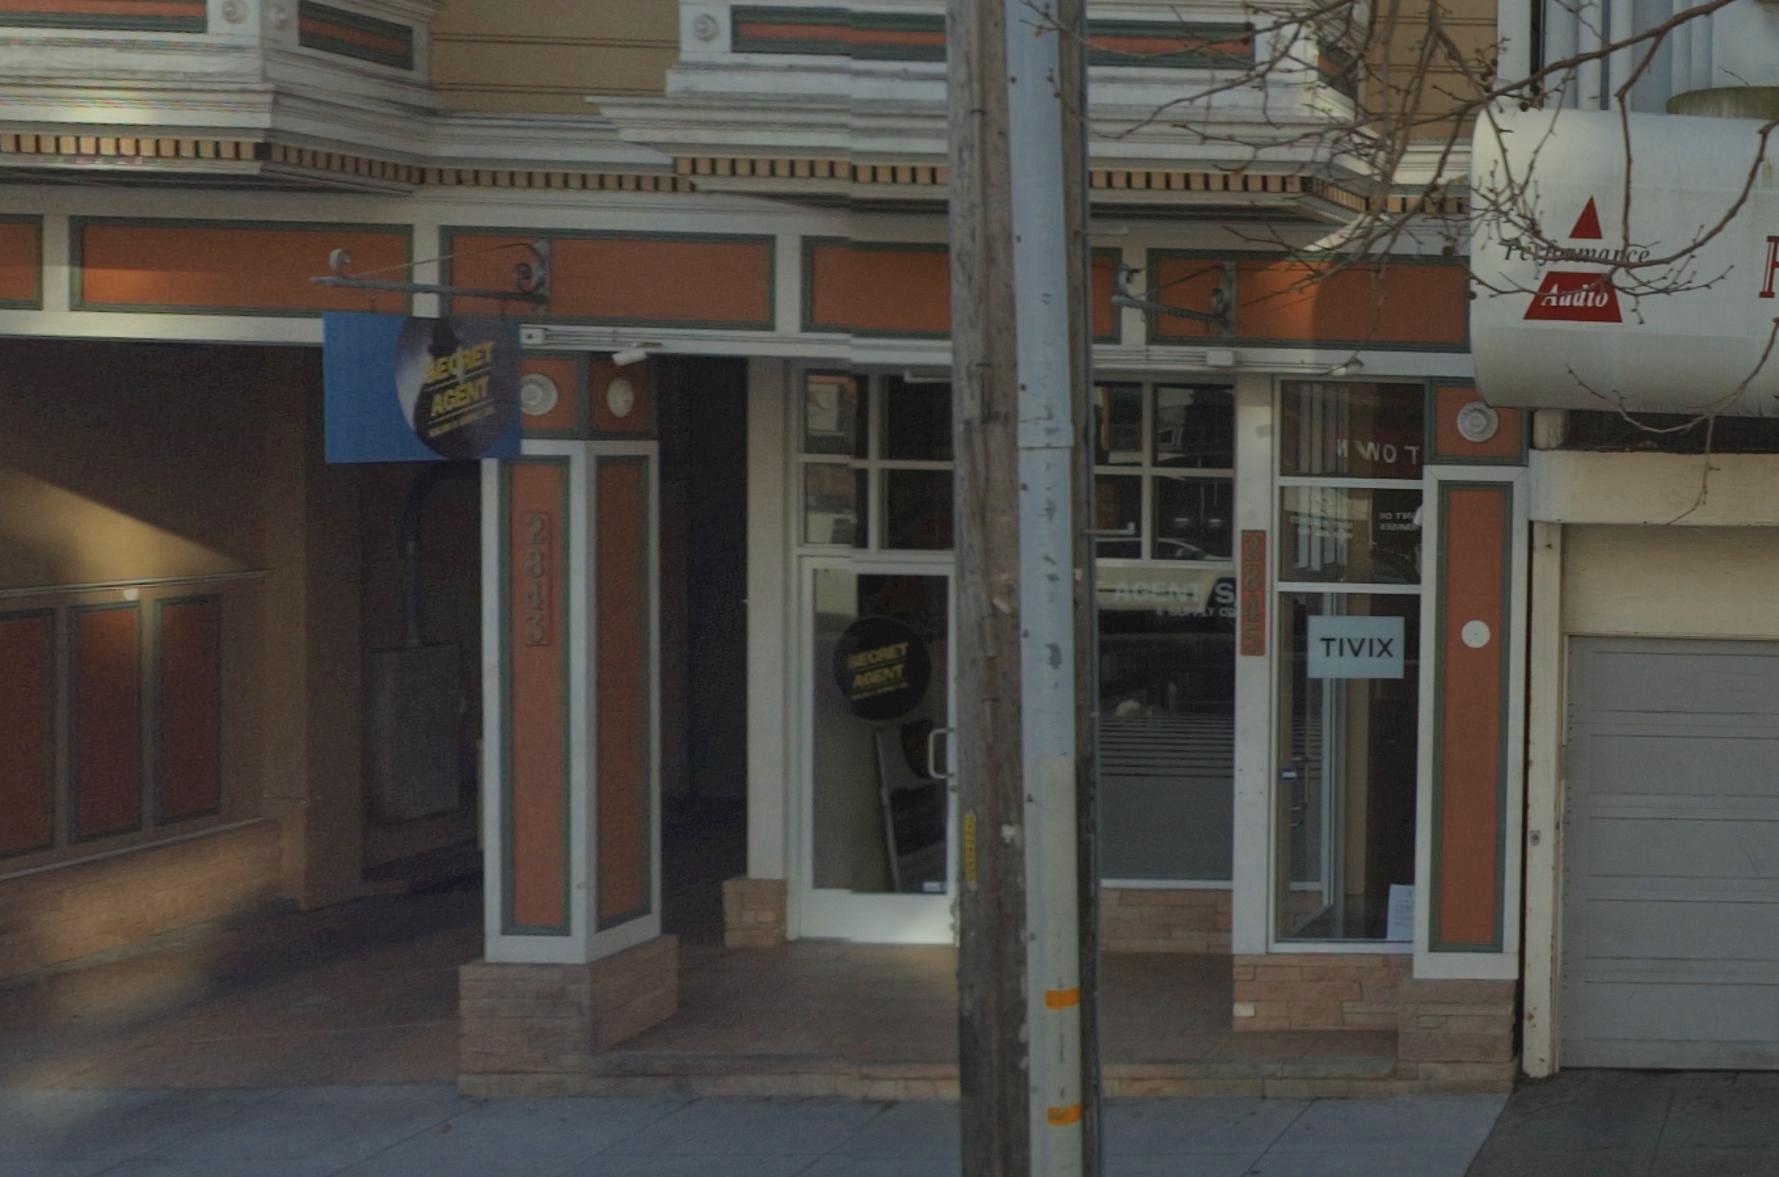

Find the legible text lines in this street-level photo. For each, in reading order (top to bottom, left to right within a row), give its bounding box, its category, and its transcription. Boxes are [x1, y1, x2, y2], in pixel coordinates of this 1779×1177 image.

[1535, 278, 1612, 310] None: Audio
[419, 337, 498, 387] BusinessName: SECRET
[428, 371, 493, 420] BusinessName: AGENT
[1332, 434, 1423, 468] None: *WOT
[520, 512, 548, 646] StreetNumber: 2843
[1108, 575, 1239, 607] None: AGENT S
[1240, 530, 1264, 655] StreetNumber: 2845
[1164, 604, 1240, 620] None: SUPPLY CO
[845, 638, 911, 675] BusinessName: SECRET
[1317, 634, 1400, 660] None: TIVIX
[849, 659, 908, 693] BusinessName: AGENT